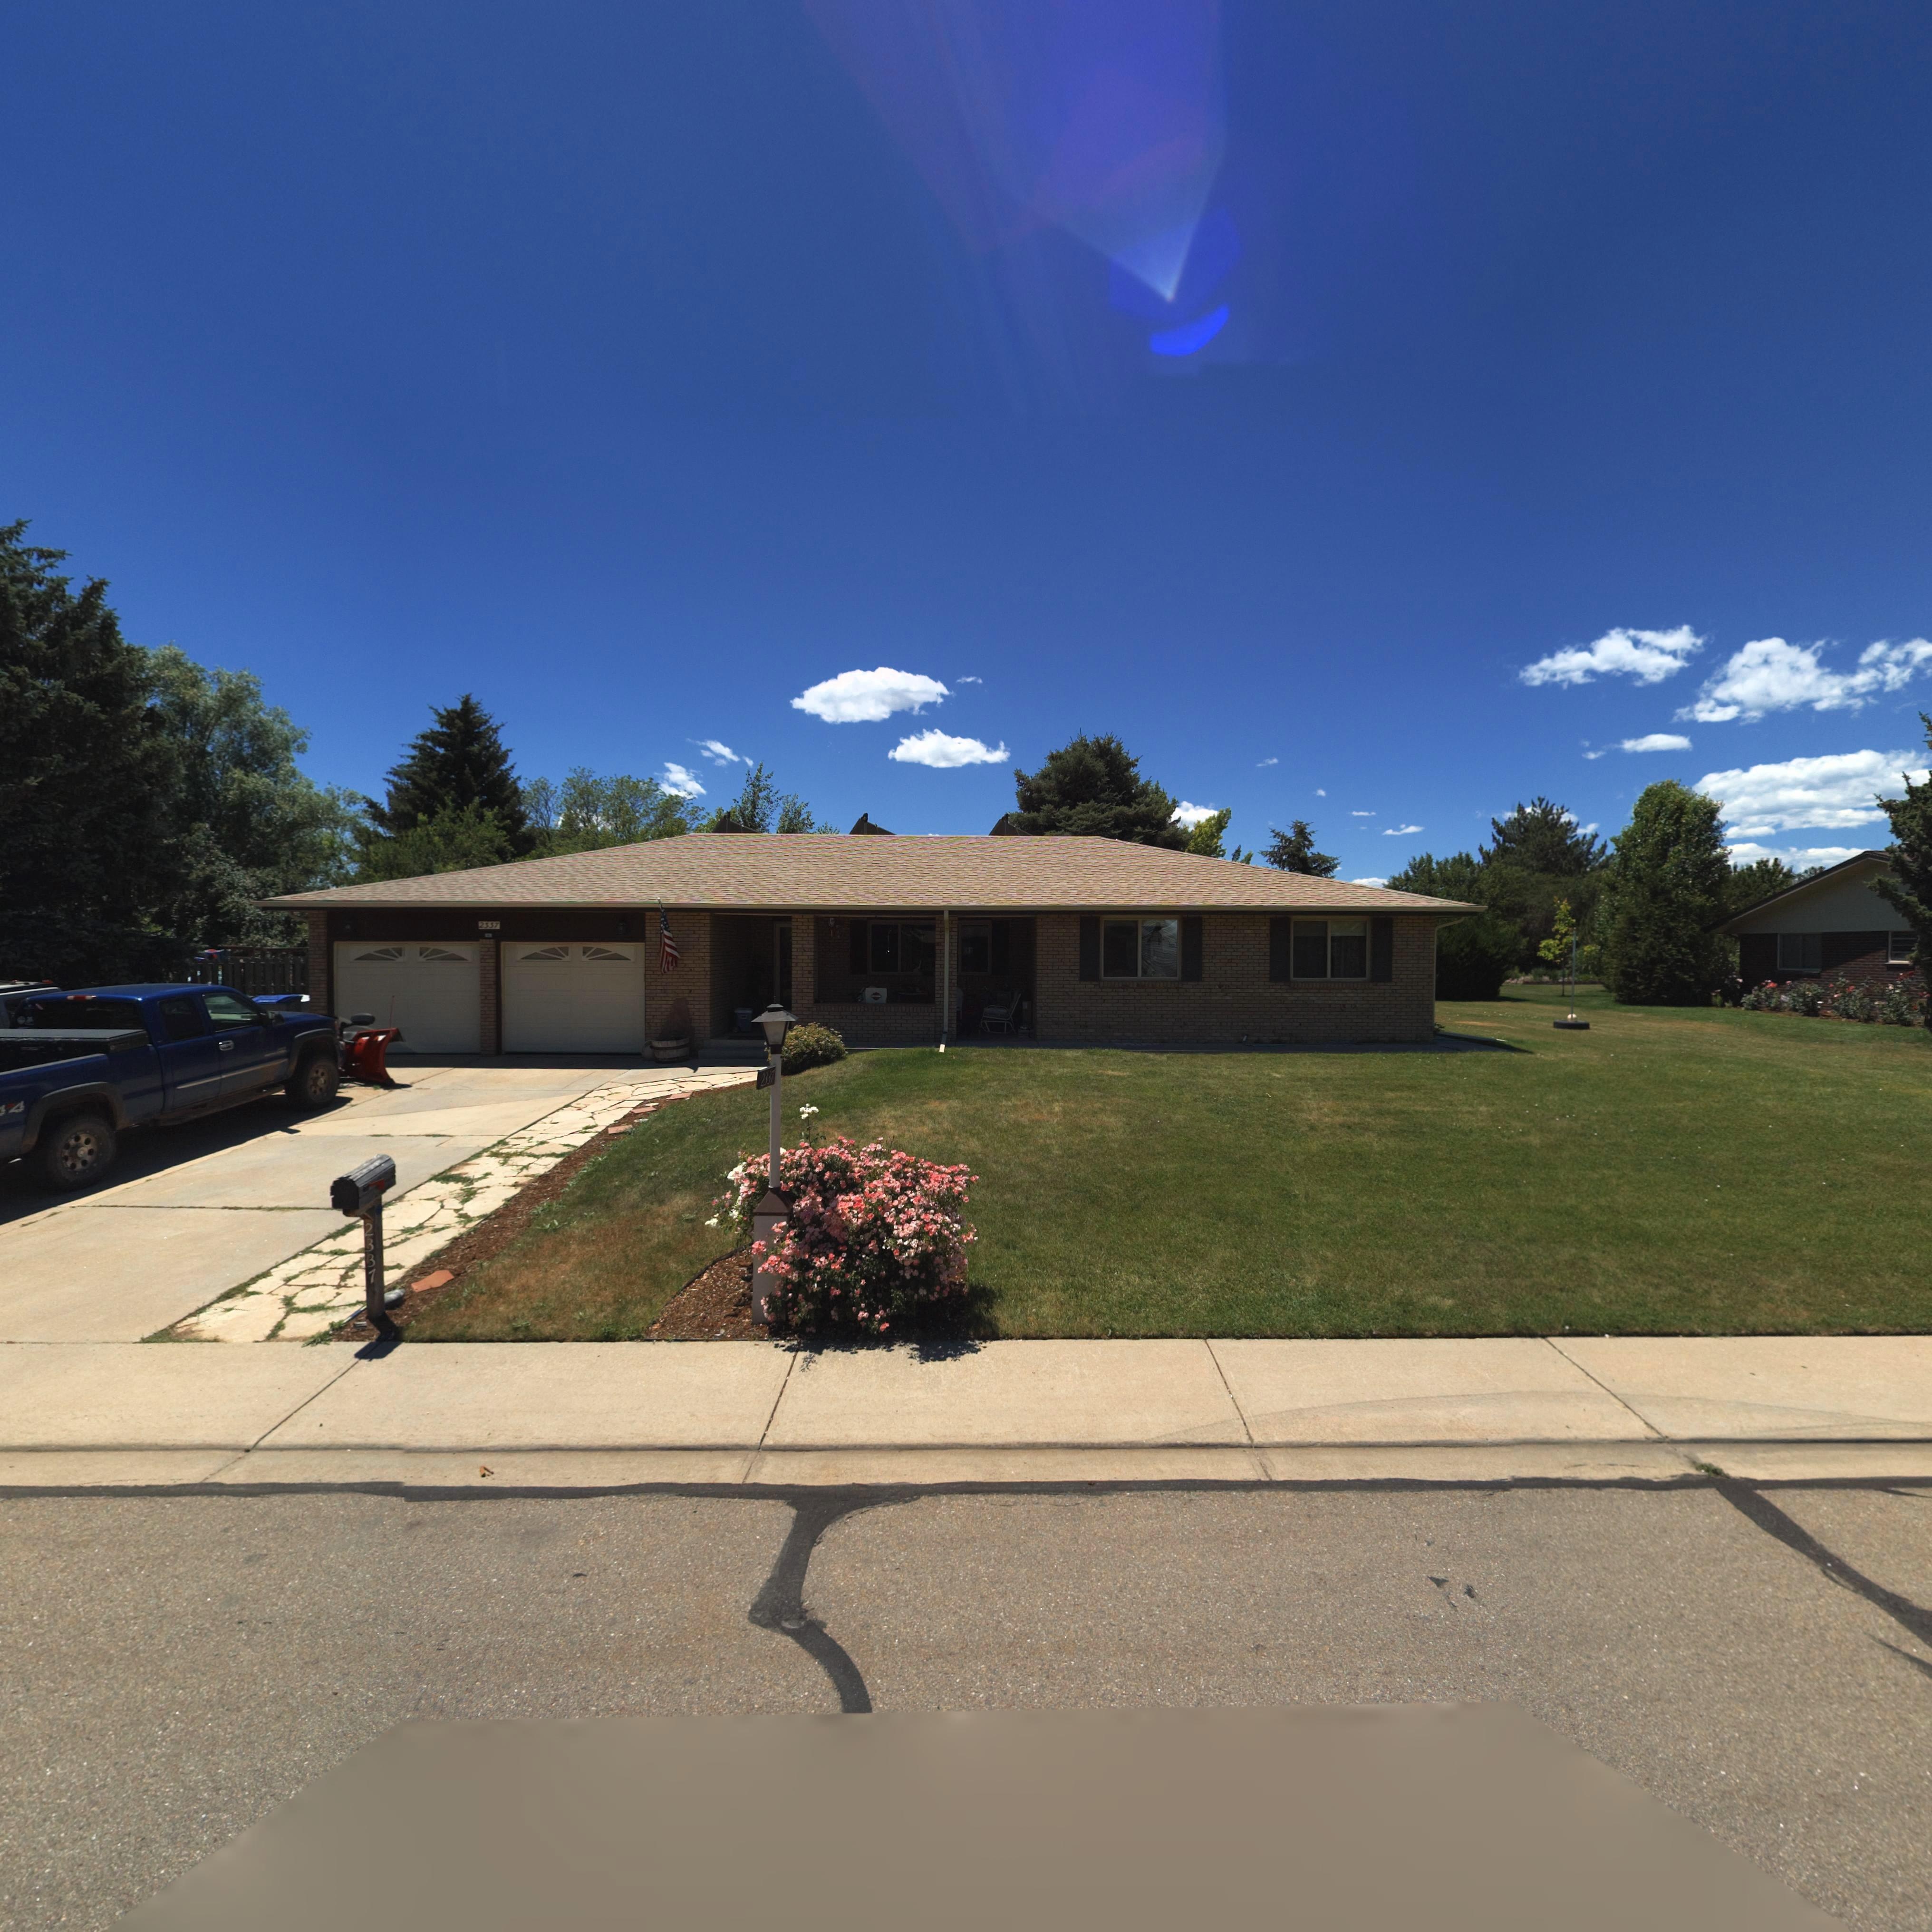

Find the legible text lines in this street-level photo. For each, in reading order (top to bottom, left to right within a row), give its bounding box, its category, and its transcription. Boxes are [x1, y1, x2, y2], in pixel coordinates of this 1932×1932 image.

[478, 921, 500, 928] StreetNumber: 2337
[364, 1221, 377, 1284] StreetNumber: 2337